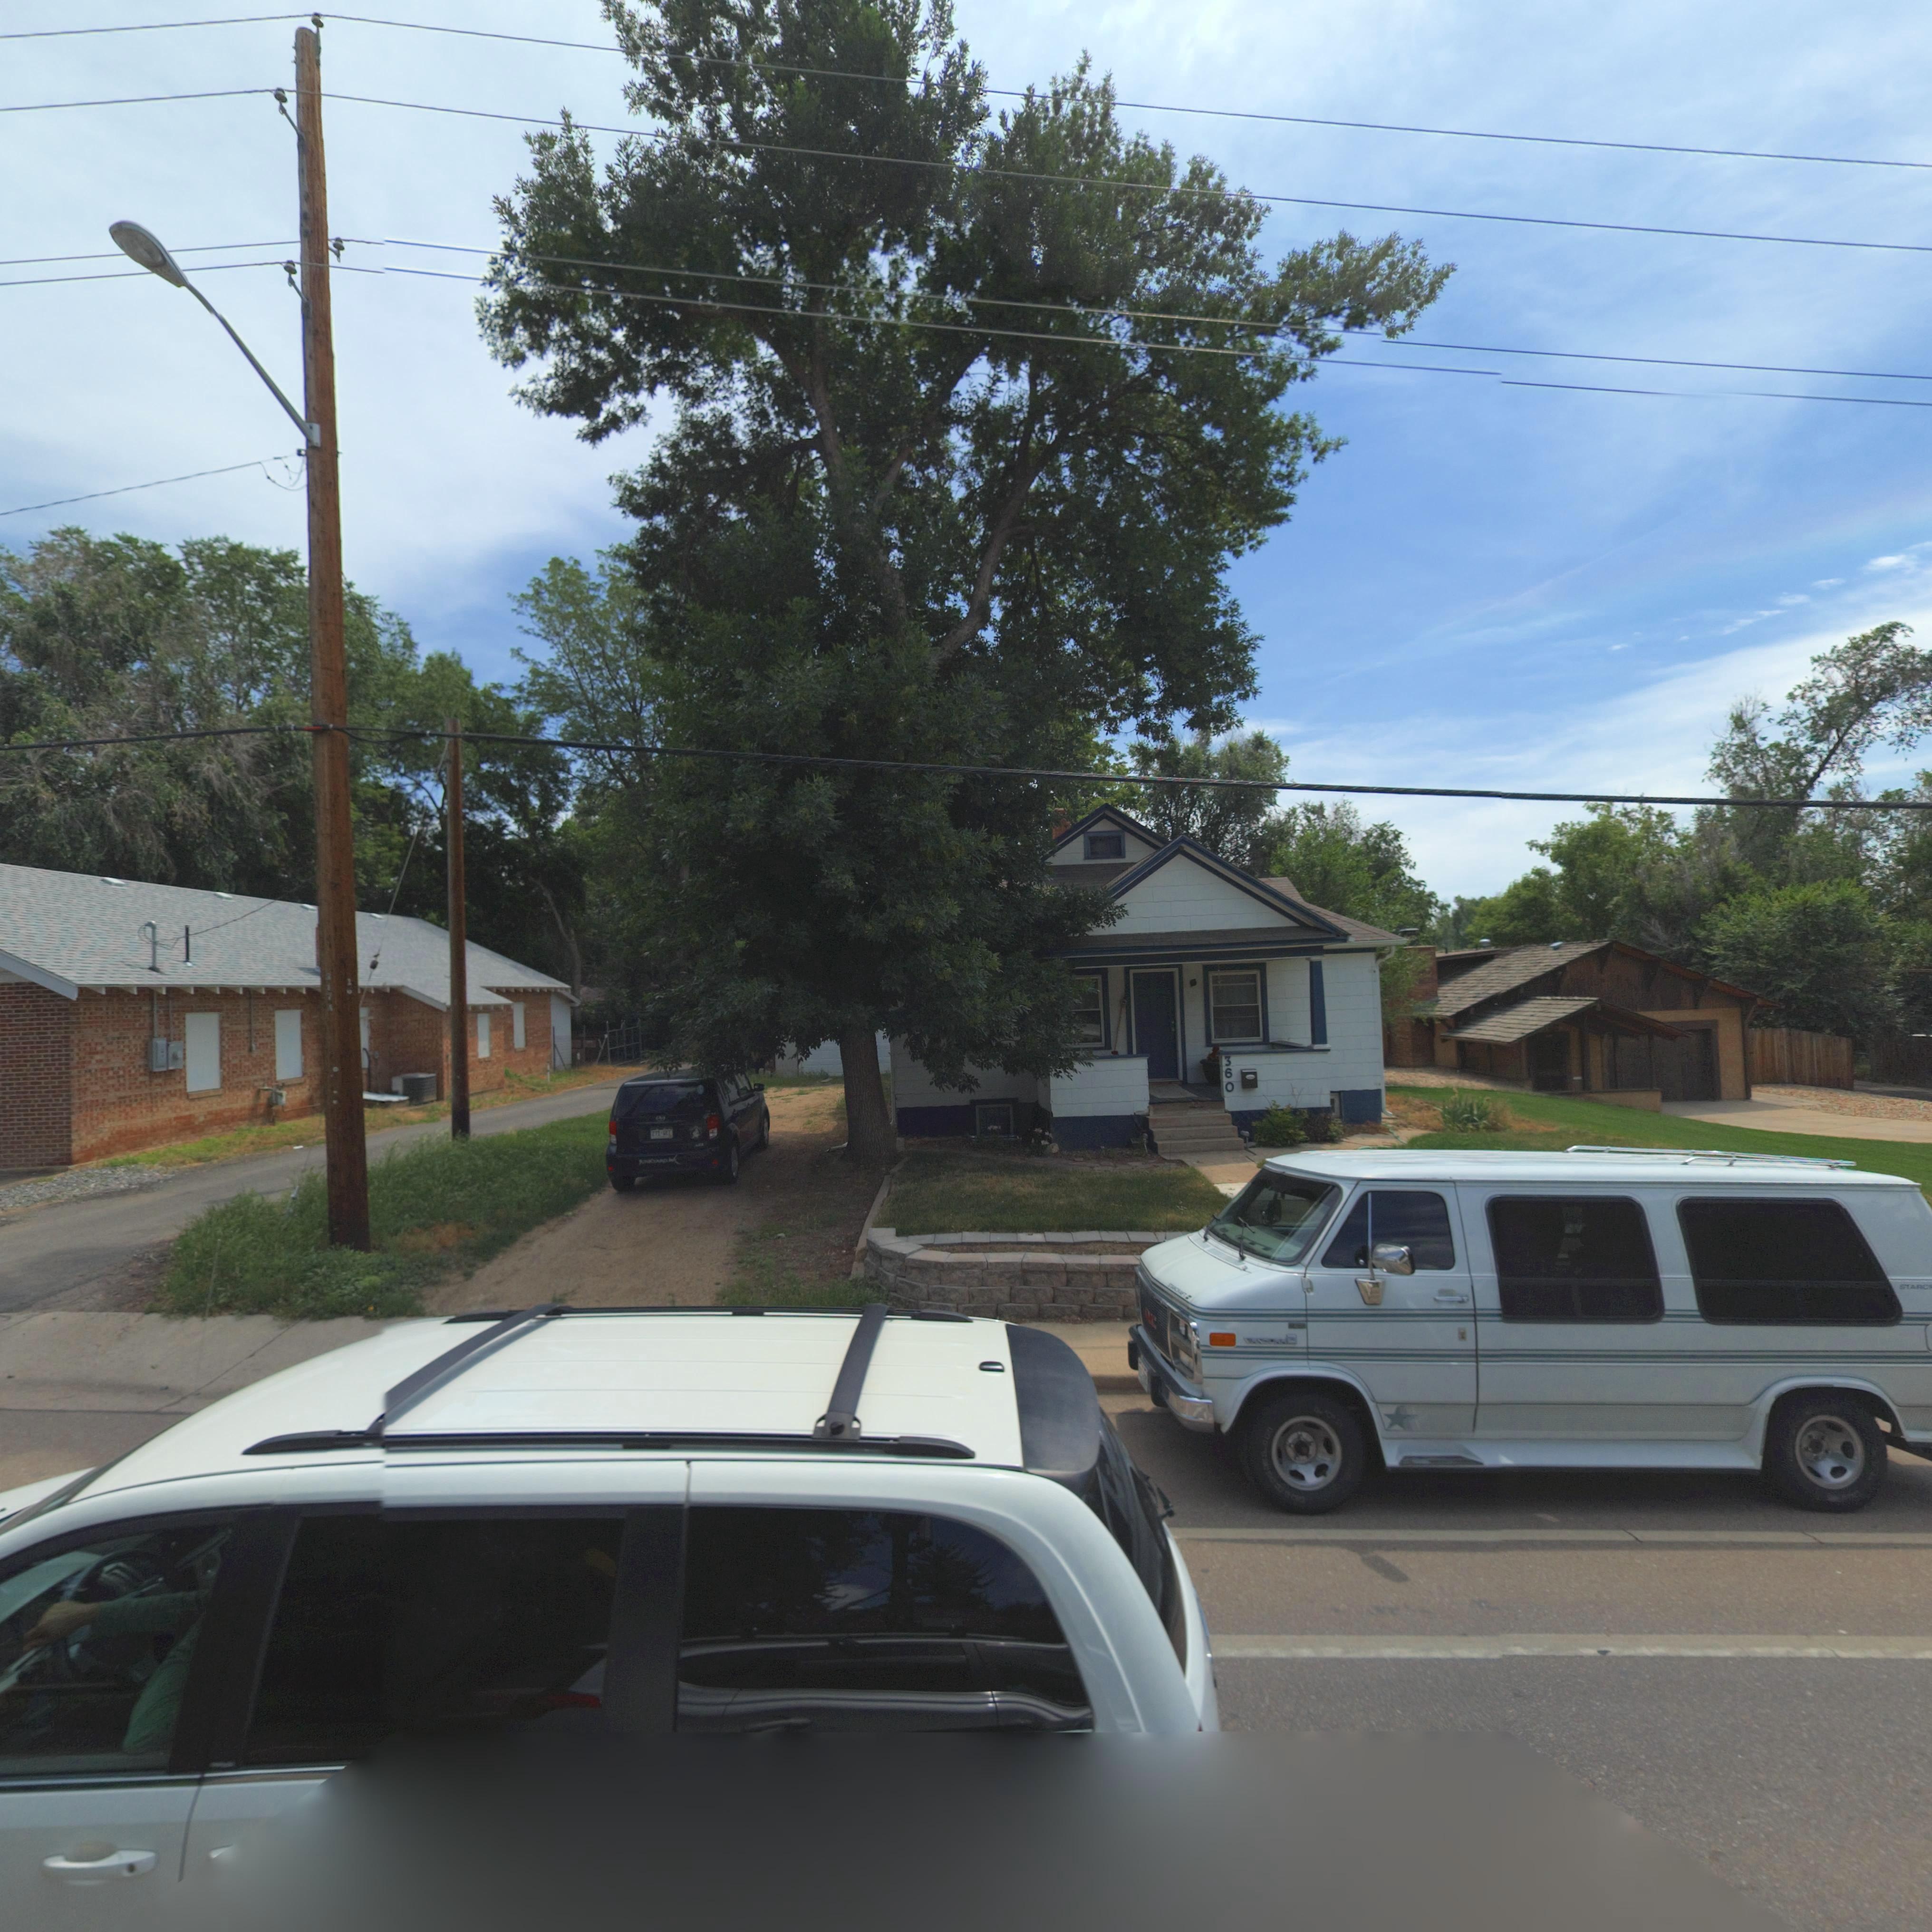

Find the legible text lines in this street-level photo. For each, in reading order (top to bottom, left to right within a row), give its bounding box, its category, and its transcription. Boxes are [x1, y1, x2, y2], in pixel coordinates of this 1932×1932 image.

[1224, 1055, 1235, 1092] StreetNumber: 360